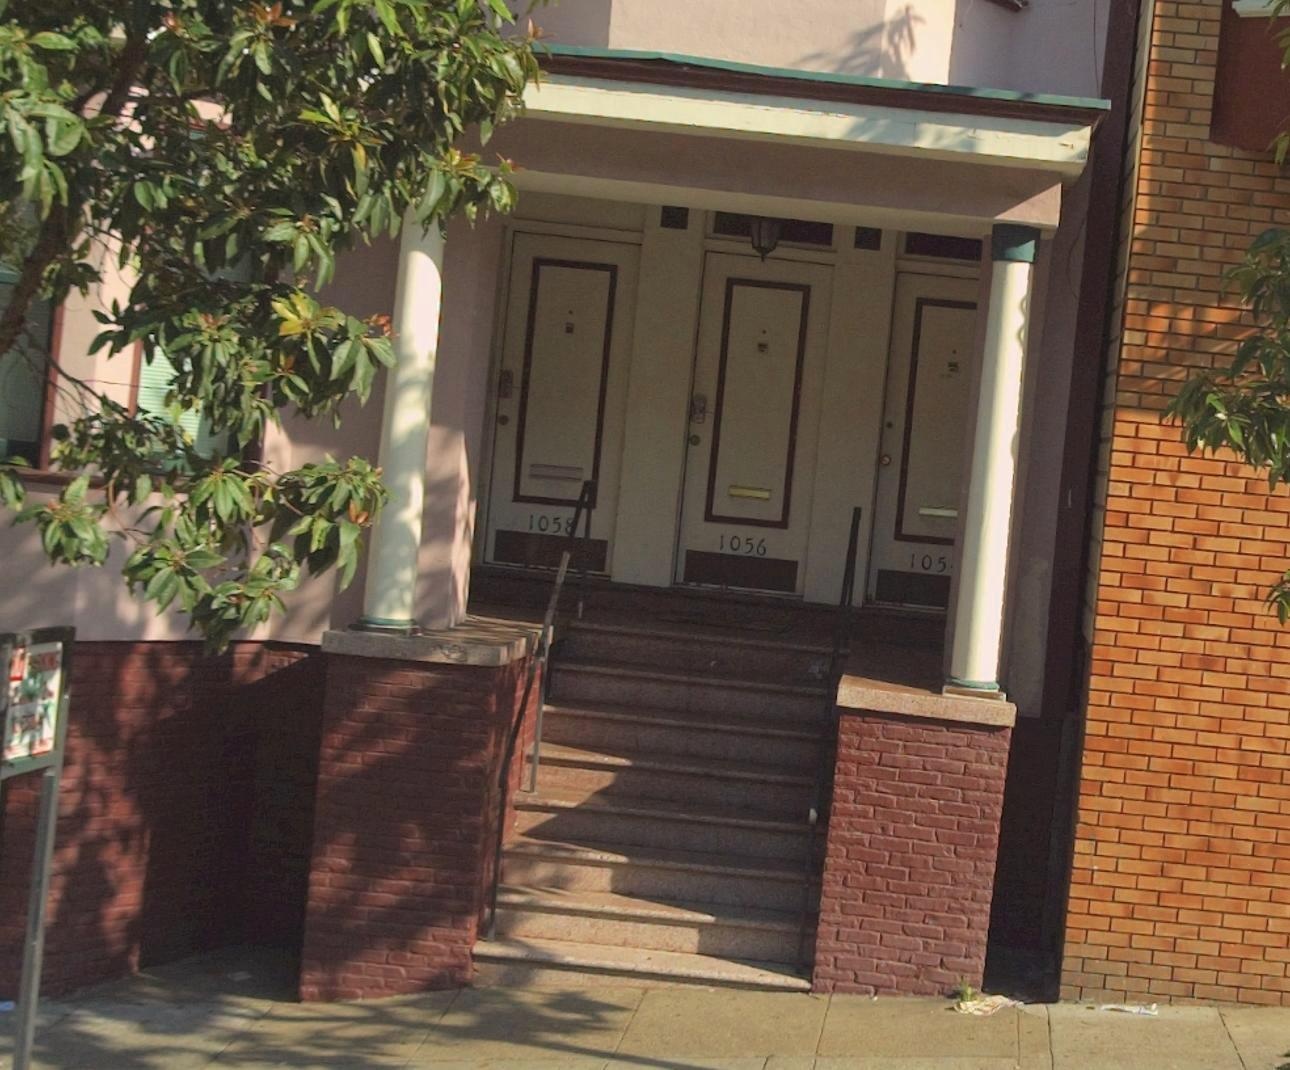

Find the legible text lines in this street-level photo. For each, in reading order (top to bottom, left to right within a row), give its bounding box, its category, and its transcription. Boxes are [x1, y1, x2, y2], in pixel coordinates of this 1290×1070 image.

[527, 510, 576, 536] StreetNumber: 1058
[717, 530, 769, 558] StreetNumber: 1056
[907, 548, 949, 577] StreetNumber: 105